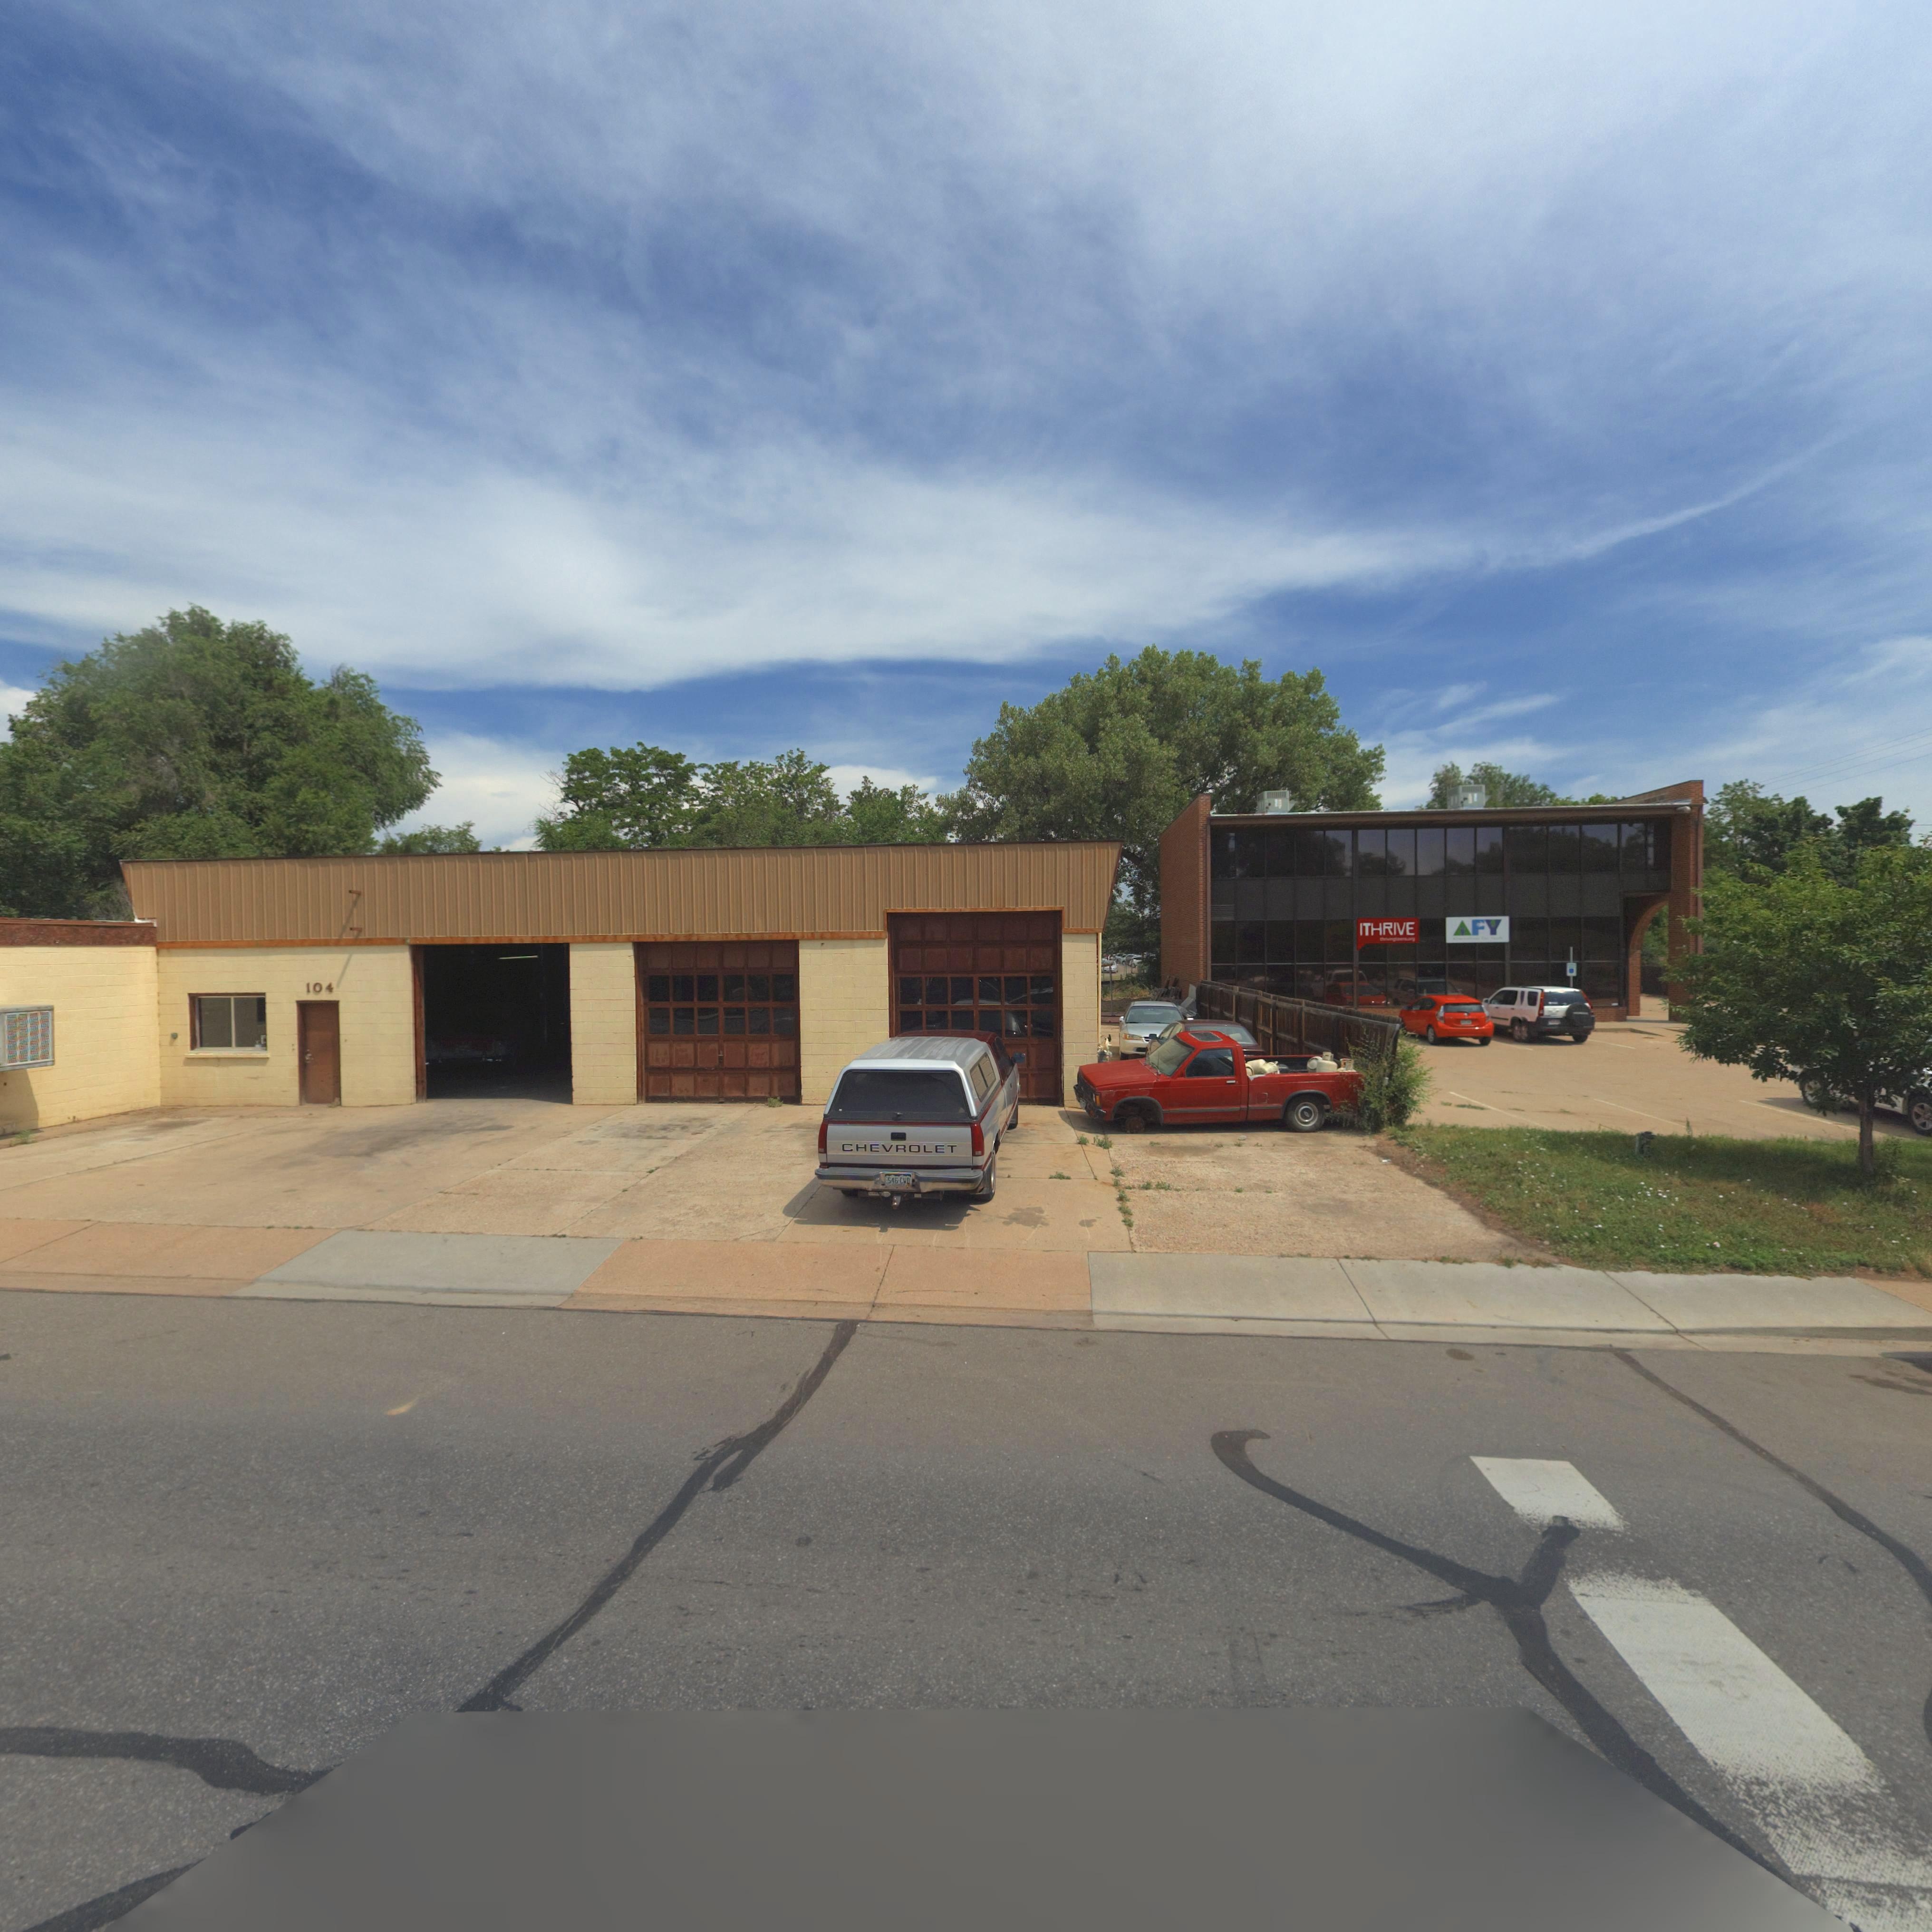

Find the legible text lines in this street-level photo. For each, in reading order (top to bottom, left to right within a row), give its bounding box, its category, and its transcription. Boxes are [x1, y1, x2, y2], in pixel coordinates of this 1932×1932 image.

[1359, 921, 1416, 937] BusinessName: ITHRIVE
[1452, 918, 1502, 937] BusinessName: *FY
[306, 982, 334, 994] StreetNumber: 104